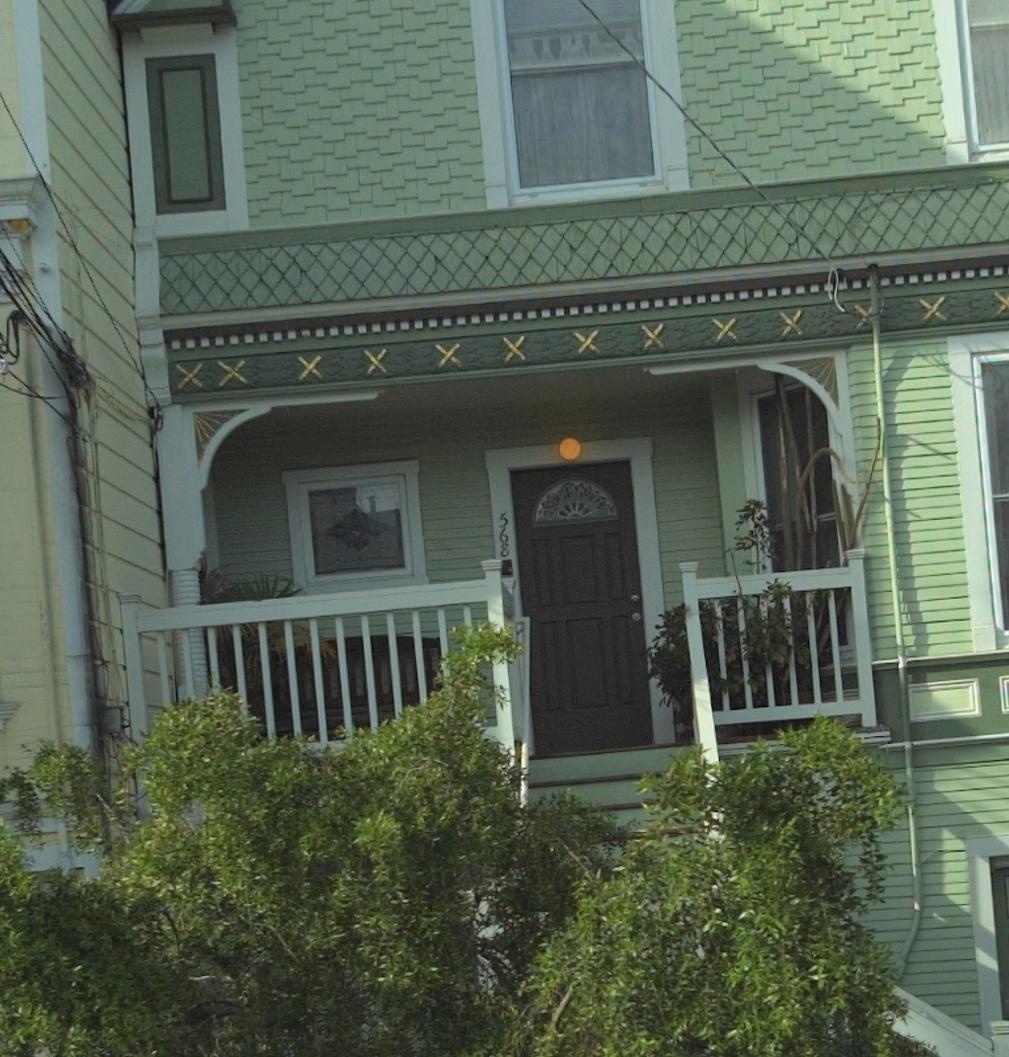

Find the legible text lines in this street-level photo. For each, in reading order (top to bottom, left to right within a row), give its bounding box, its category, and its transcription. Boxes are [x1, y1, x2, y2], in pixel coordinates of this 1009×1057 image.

[500, 511, 509, 557] StreetNumber: 568